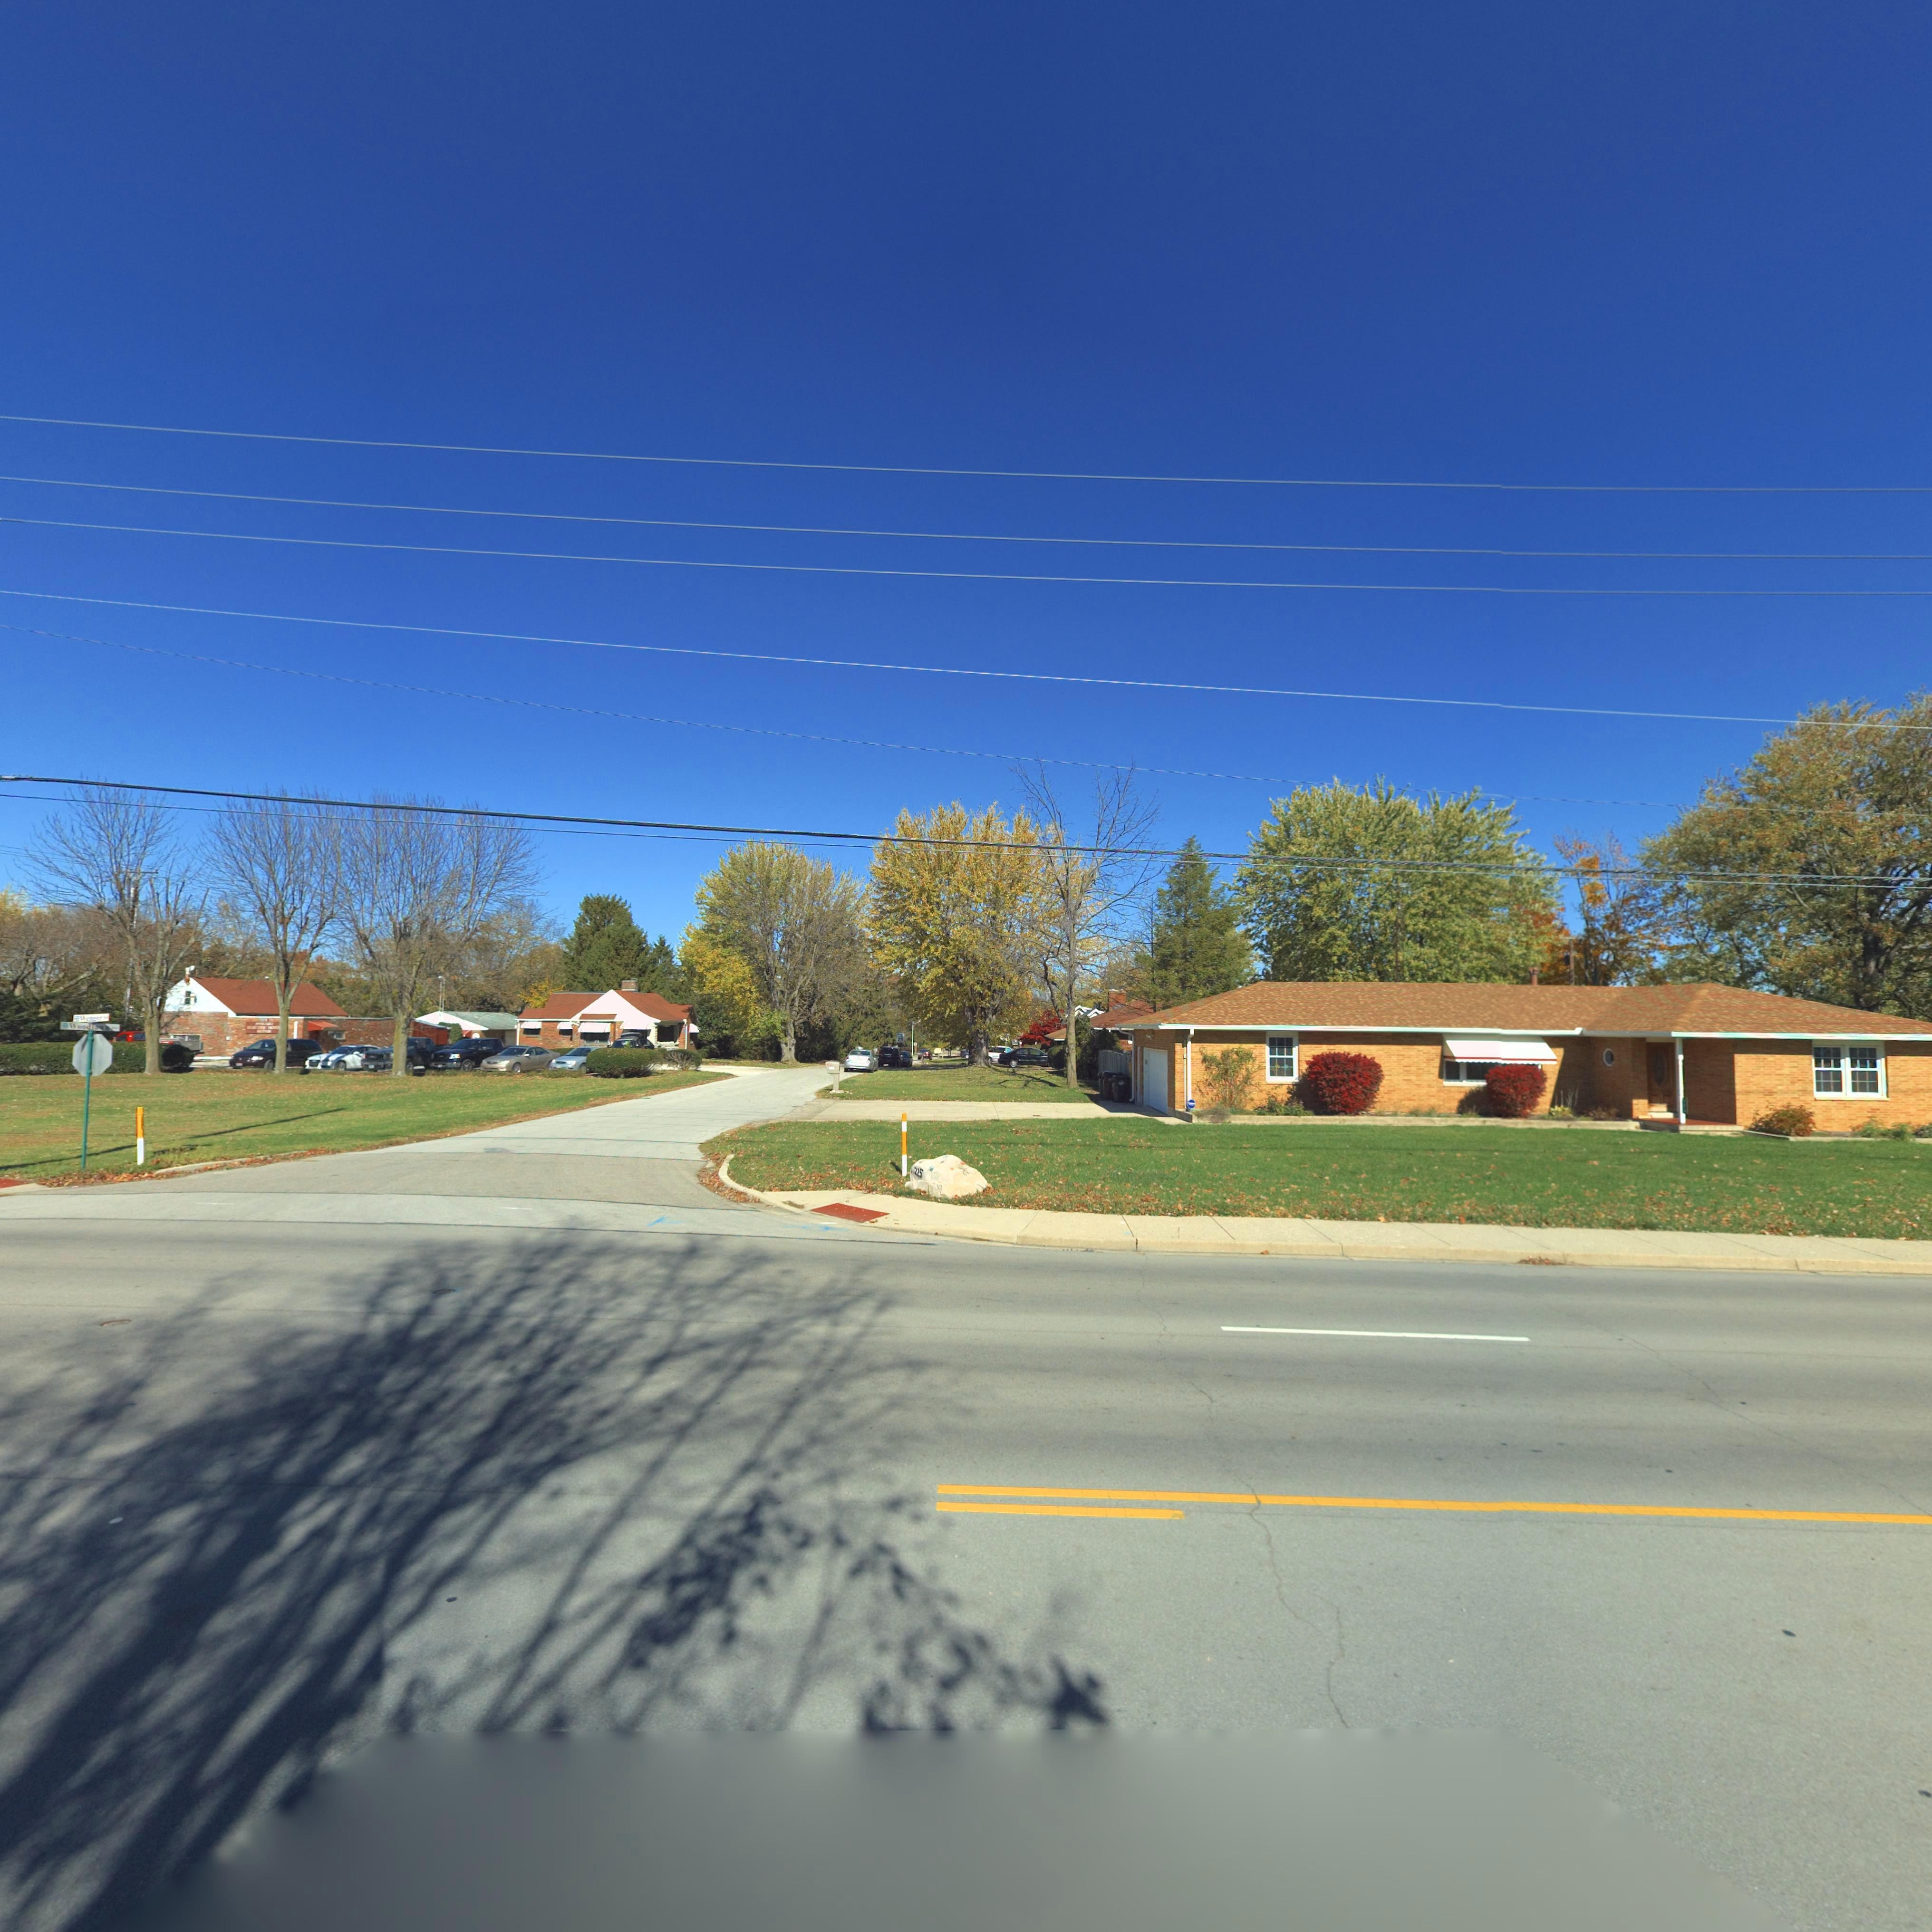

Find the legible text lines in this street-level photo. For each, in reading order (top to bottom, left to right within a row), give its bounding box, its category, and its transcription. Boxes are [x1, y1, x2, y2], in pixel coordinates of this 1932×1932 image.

[913, 1165, 925, 1179] StreetNumber: 225